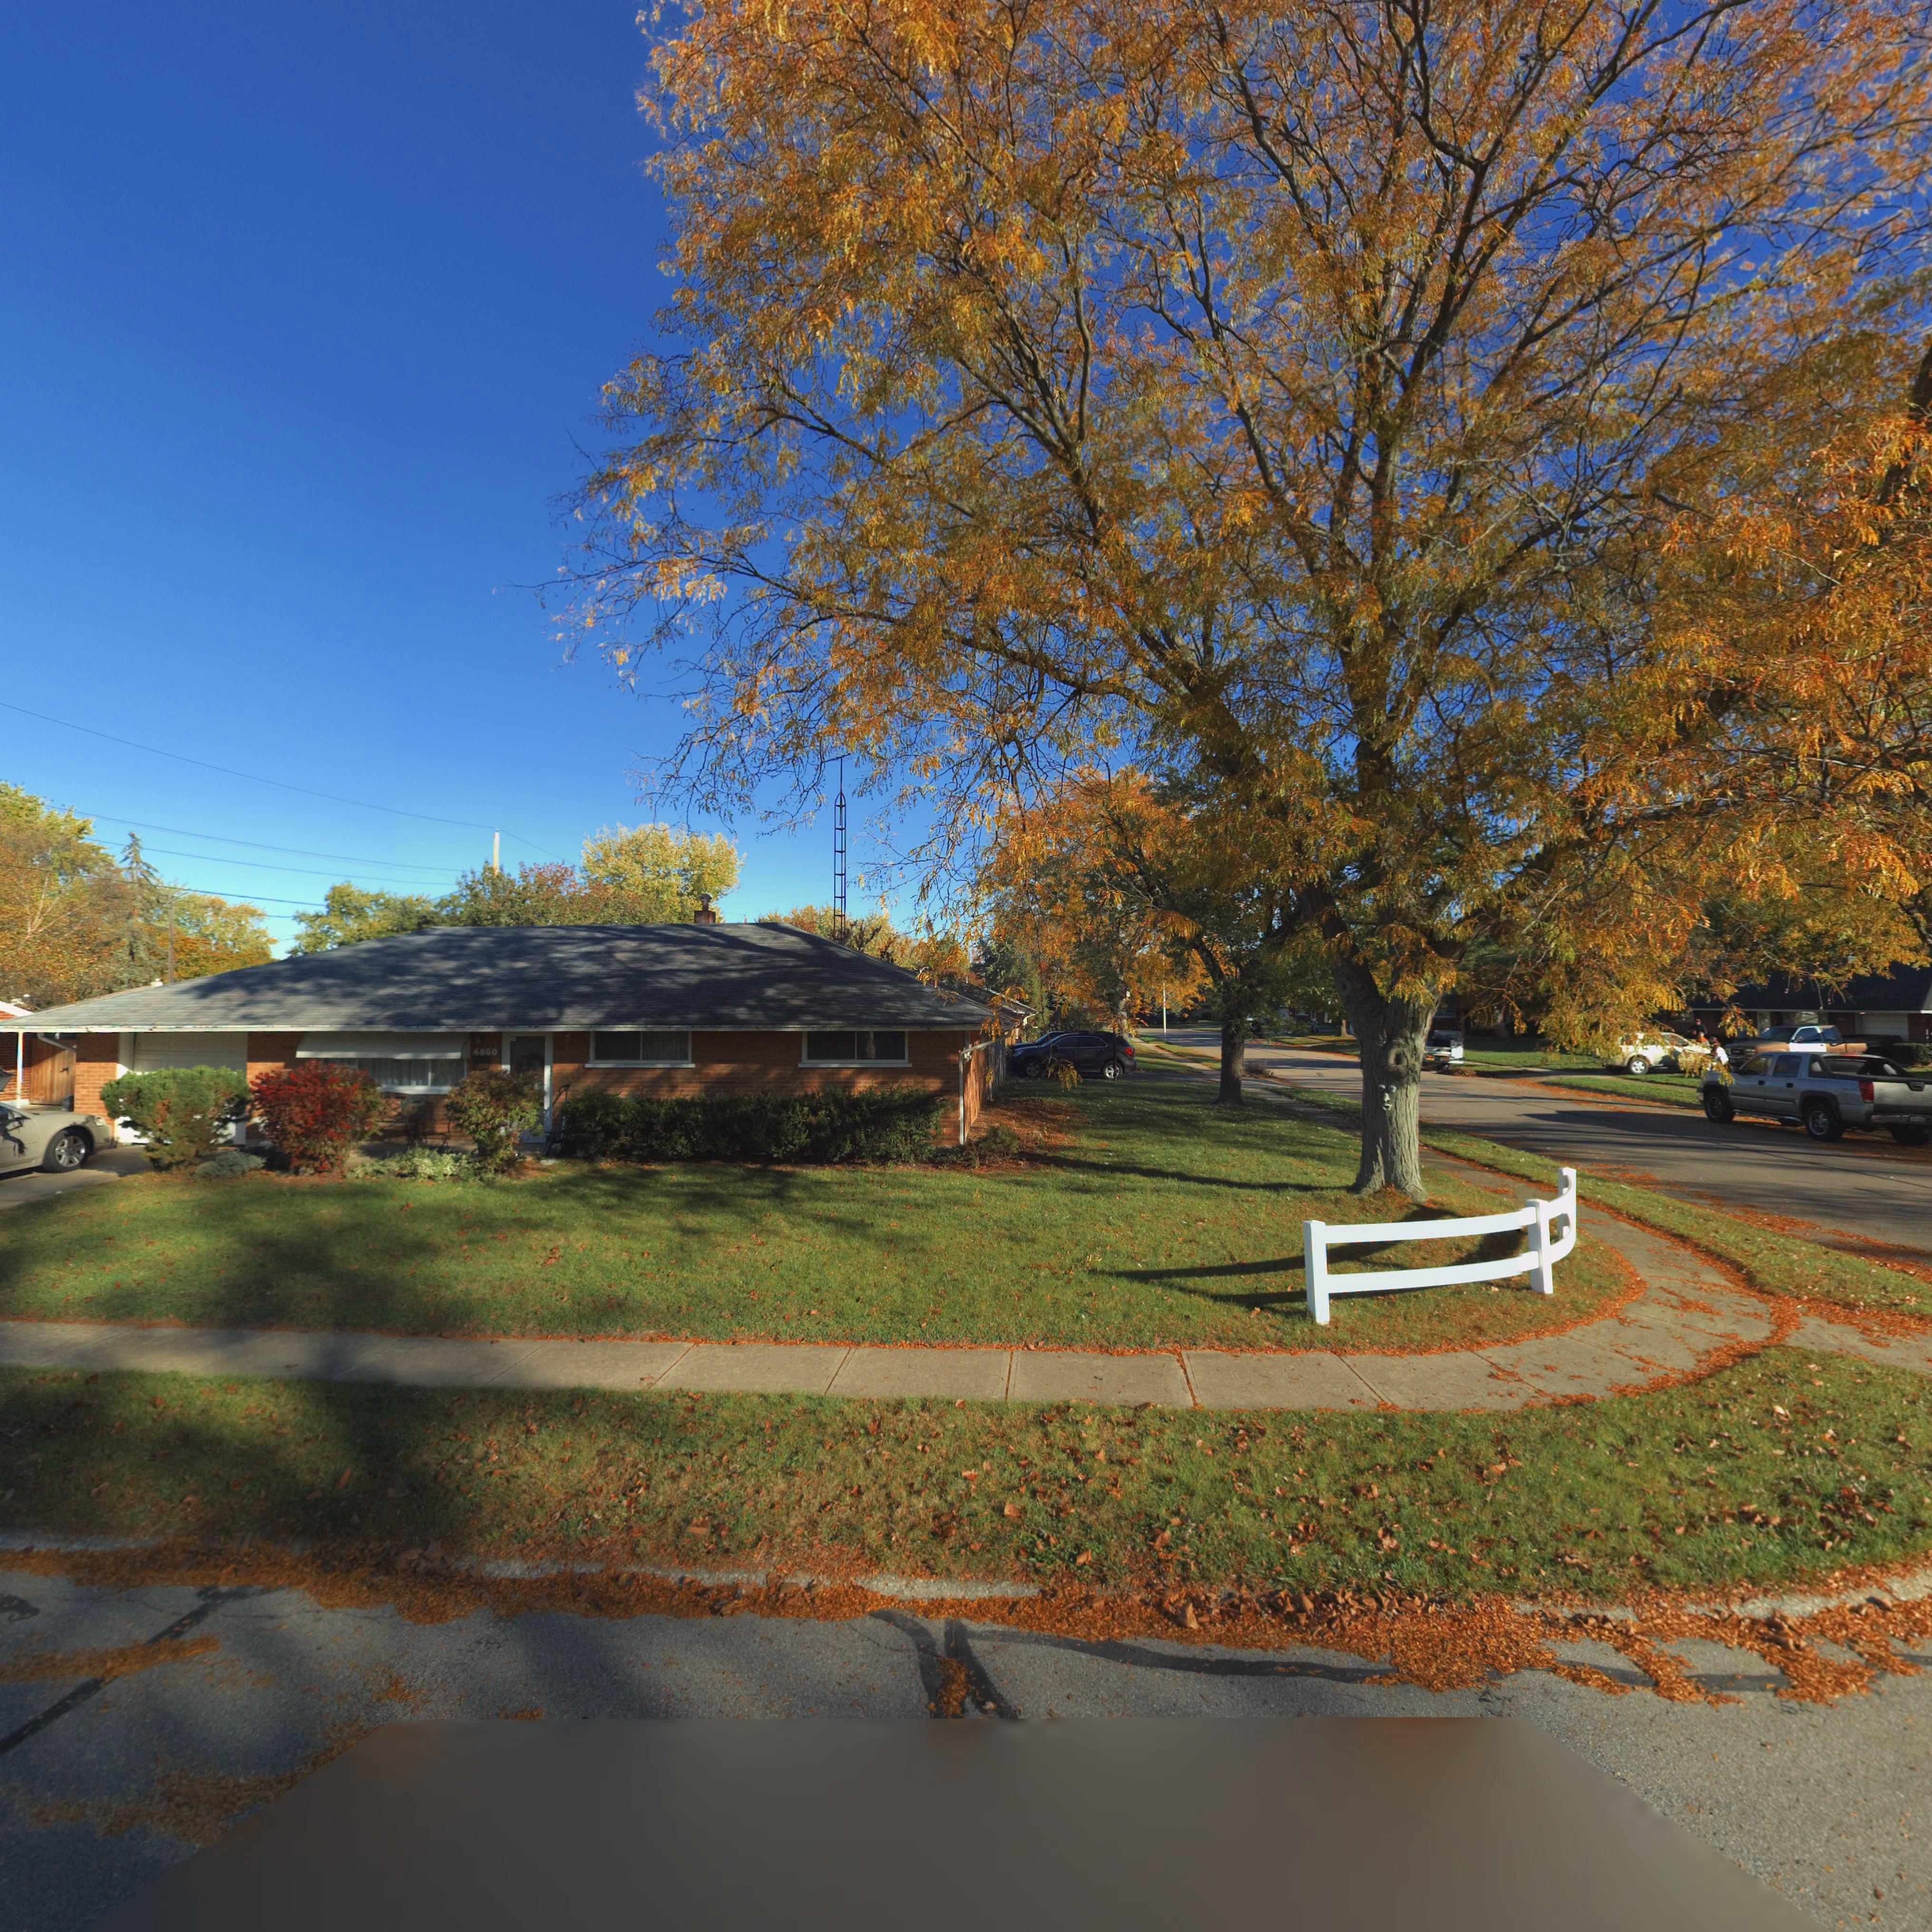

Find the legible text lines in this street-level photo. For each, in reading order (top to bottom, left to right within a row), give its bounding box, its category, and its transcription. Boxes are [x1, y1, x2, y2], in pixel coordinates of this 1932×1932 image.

[473, 1047, 498, 1056] StreetNumber: 4860